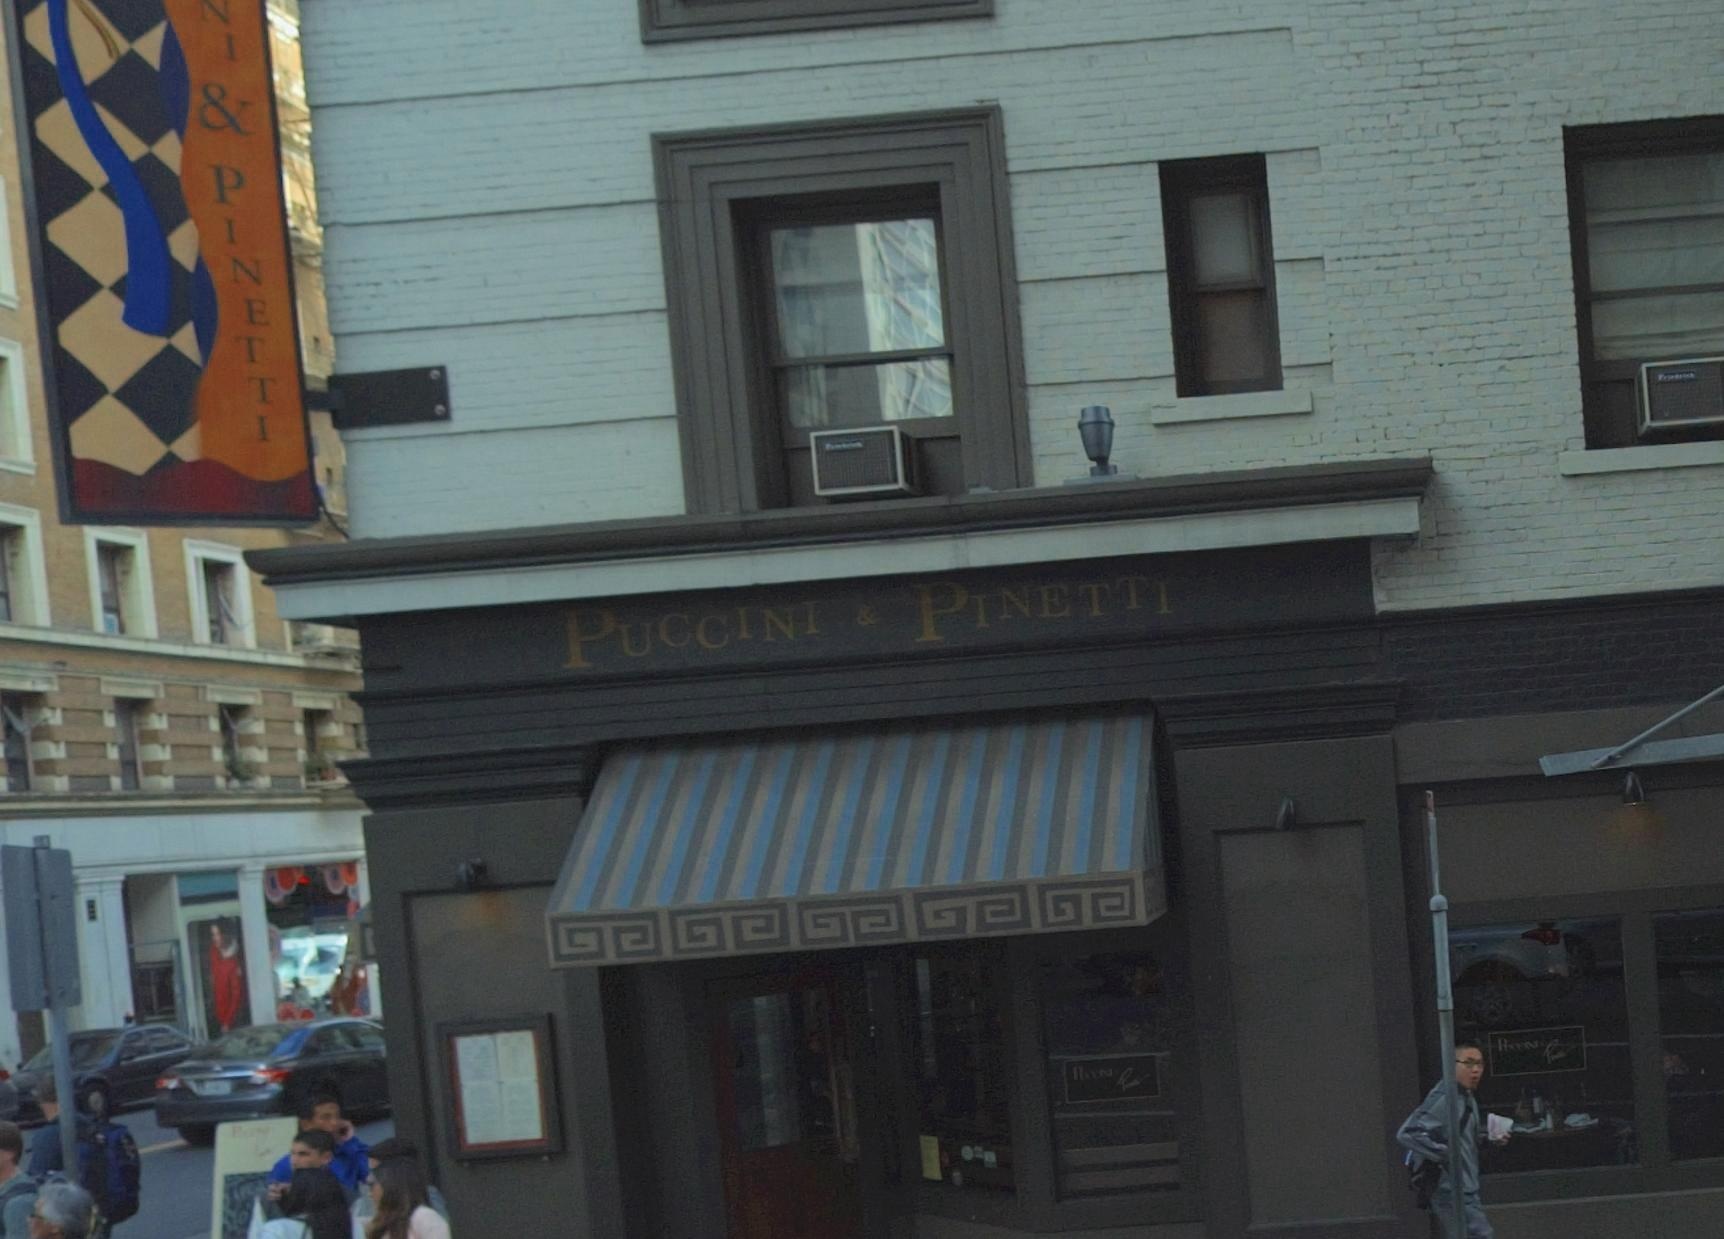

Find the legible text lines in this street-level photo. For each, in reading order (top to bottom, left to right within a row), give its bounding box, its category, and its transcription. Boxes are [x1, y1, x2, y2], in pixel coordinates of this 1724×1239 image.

[219, 26, 244, 66] BusinessName: I
[200, 154, 281, 451] BusinessName: PINETTI
[551, 555, 1183, 679] BusinessName: PUCCINI & PINETTI